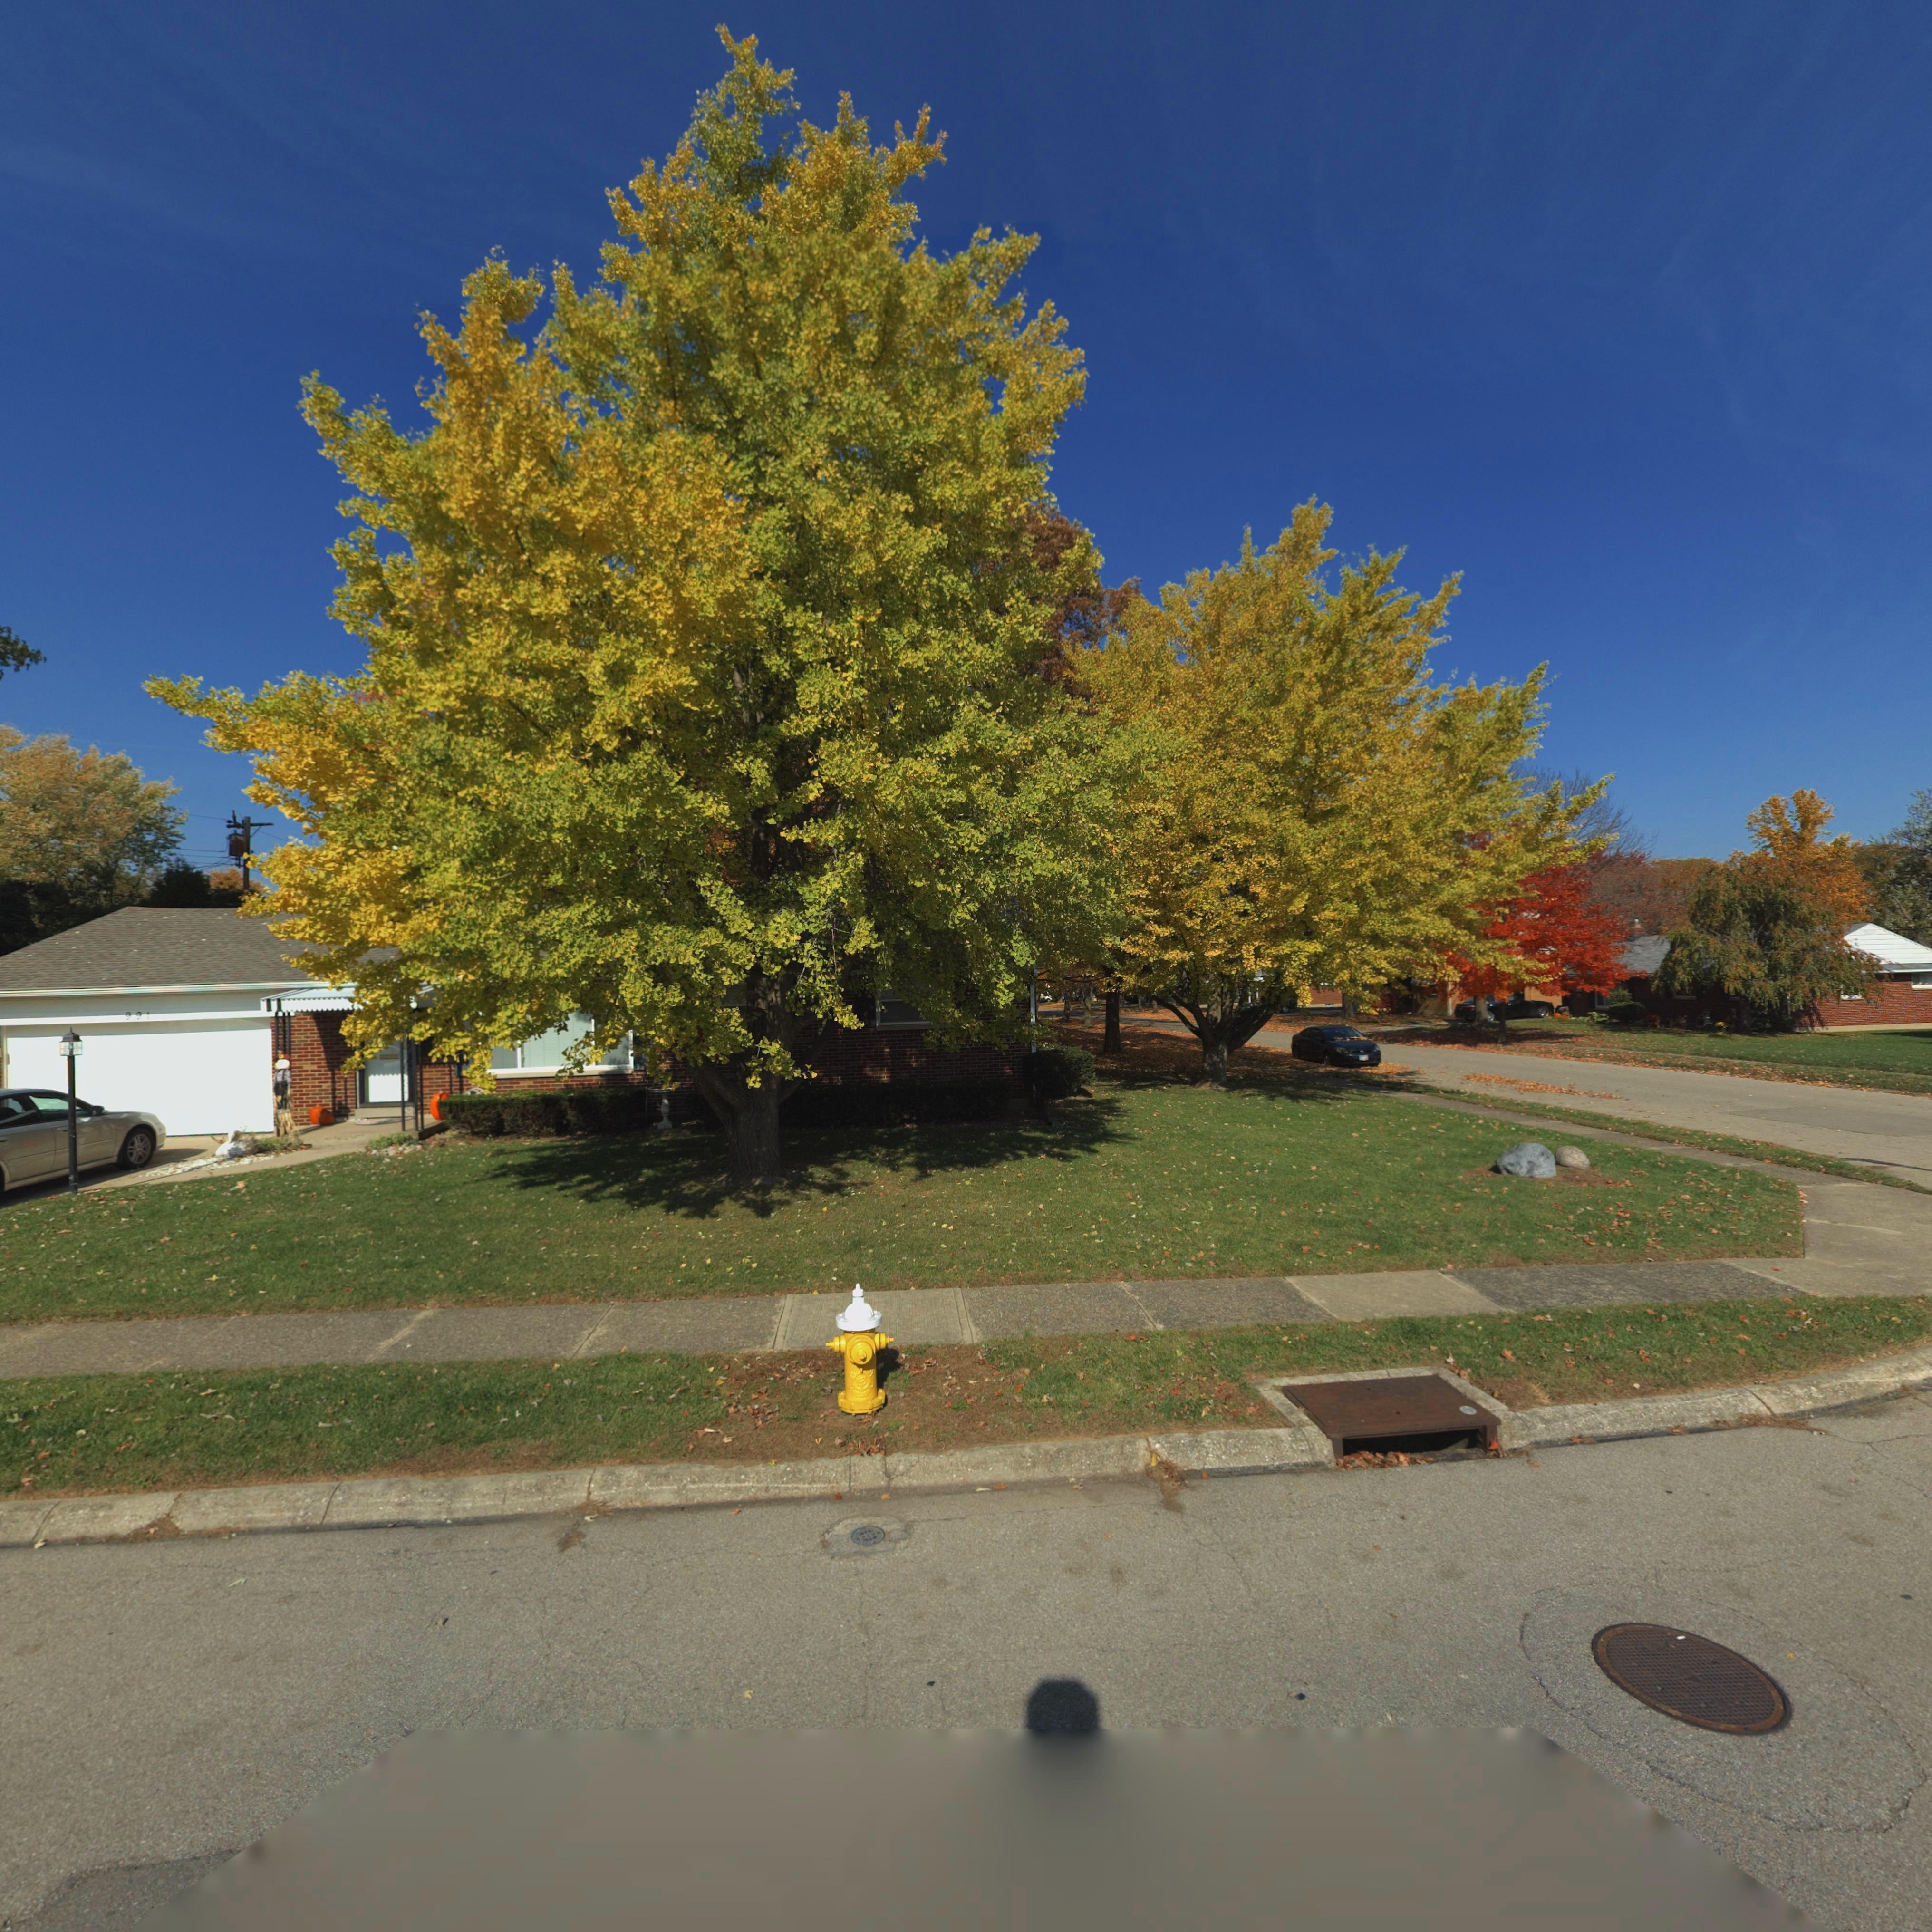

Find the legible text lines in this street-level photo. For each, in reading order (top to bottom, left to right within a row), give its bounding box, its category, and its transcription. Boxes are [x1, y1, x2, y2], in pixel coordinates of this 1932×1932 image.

[123, 1010, 151, 1021] StreetNumber: 991